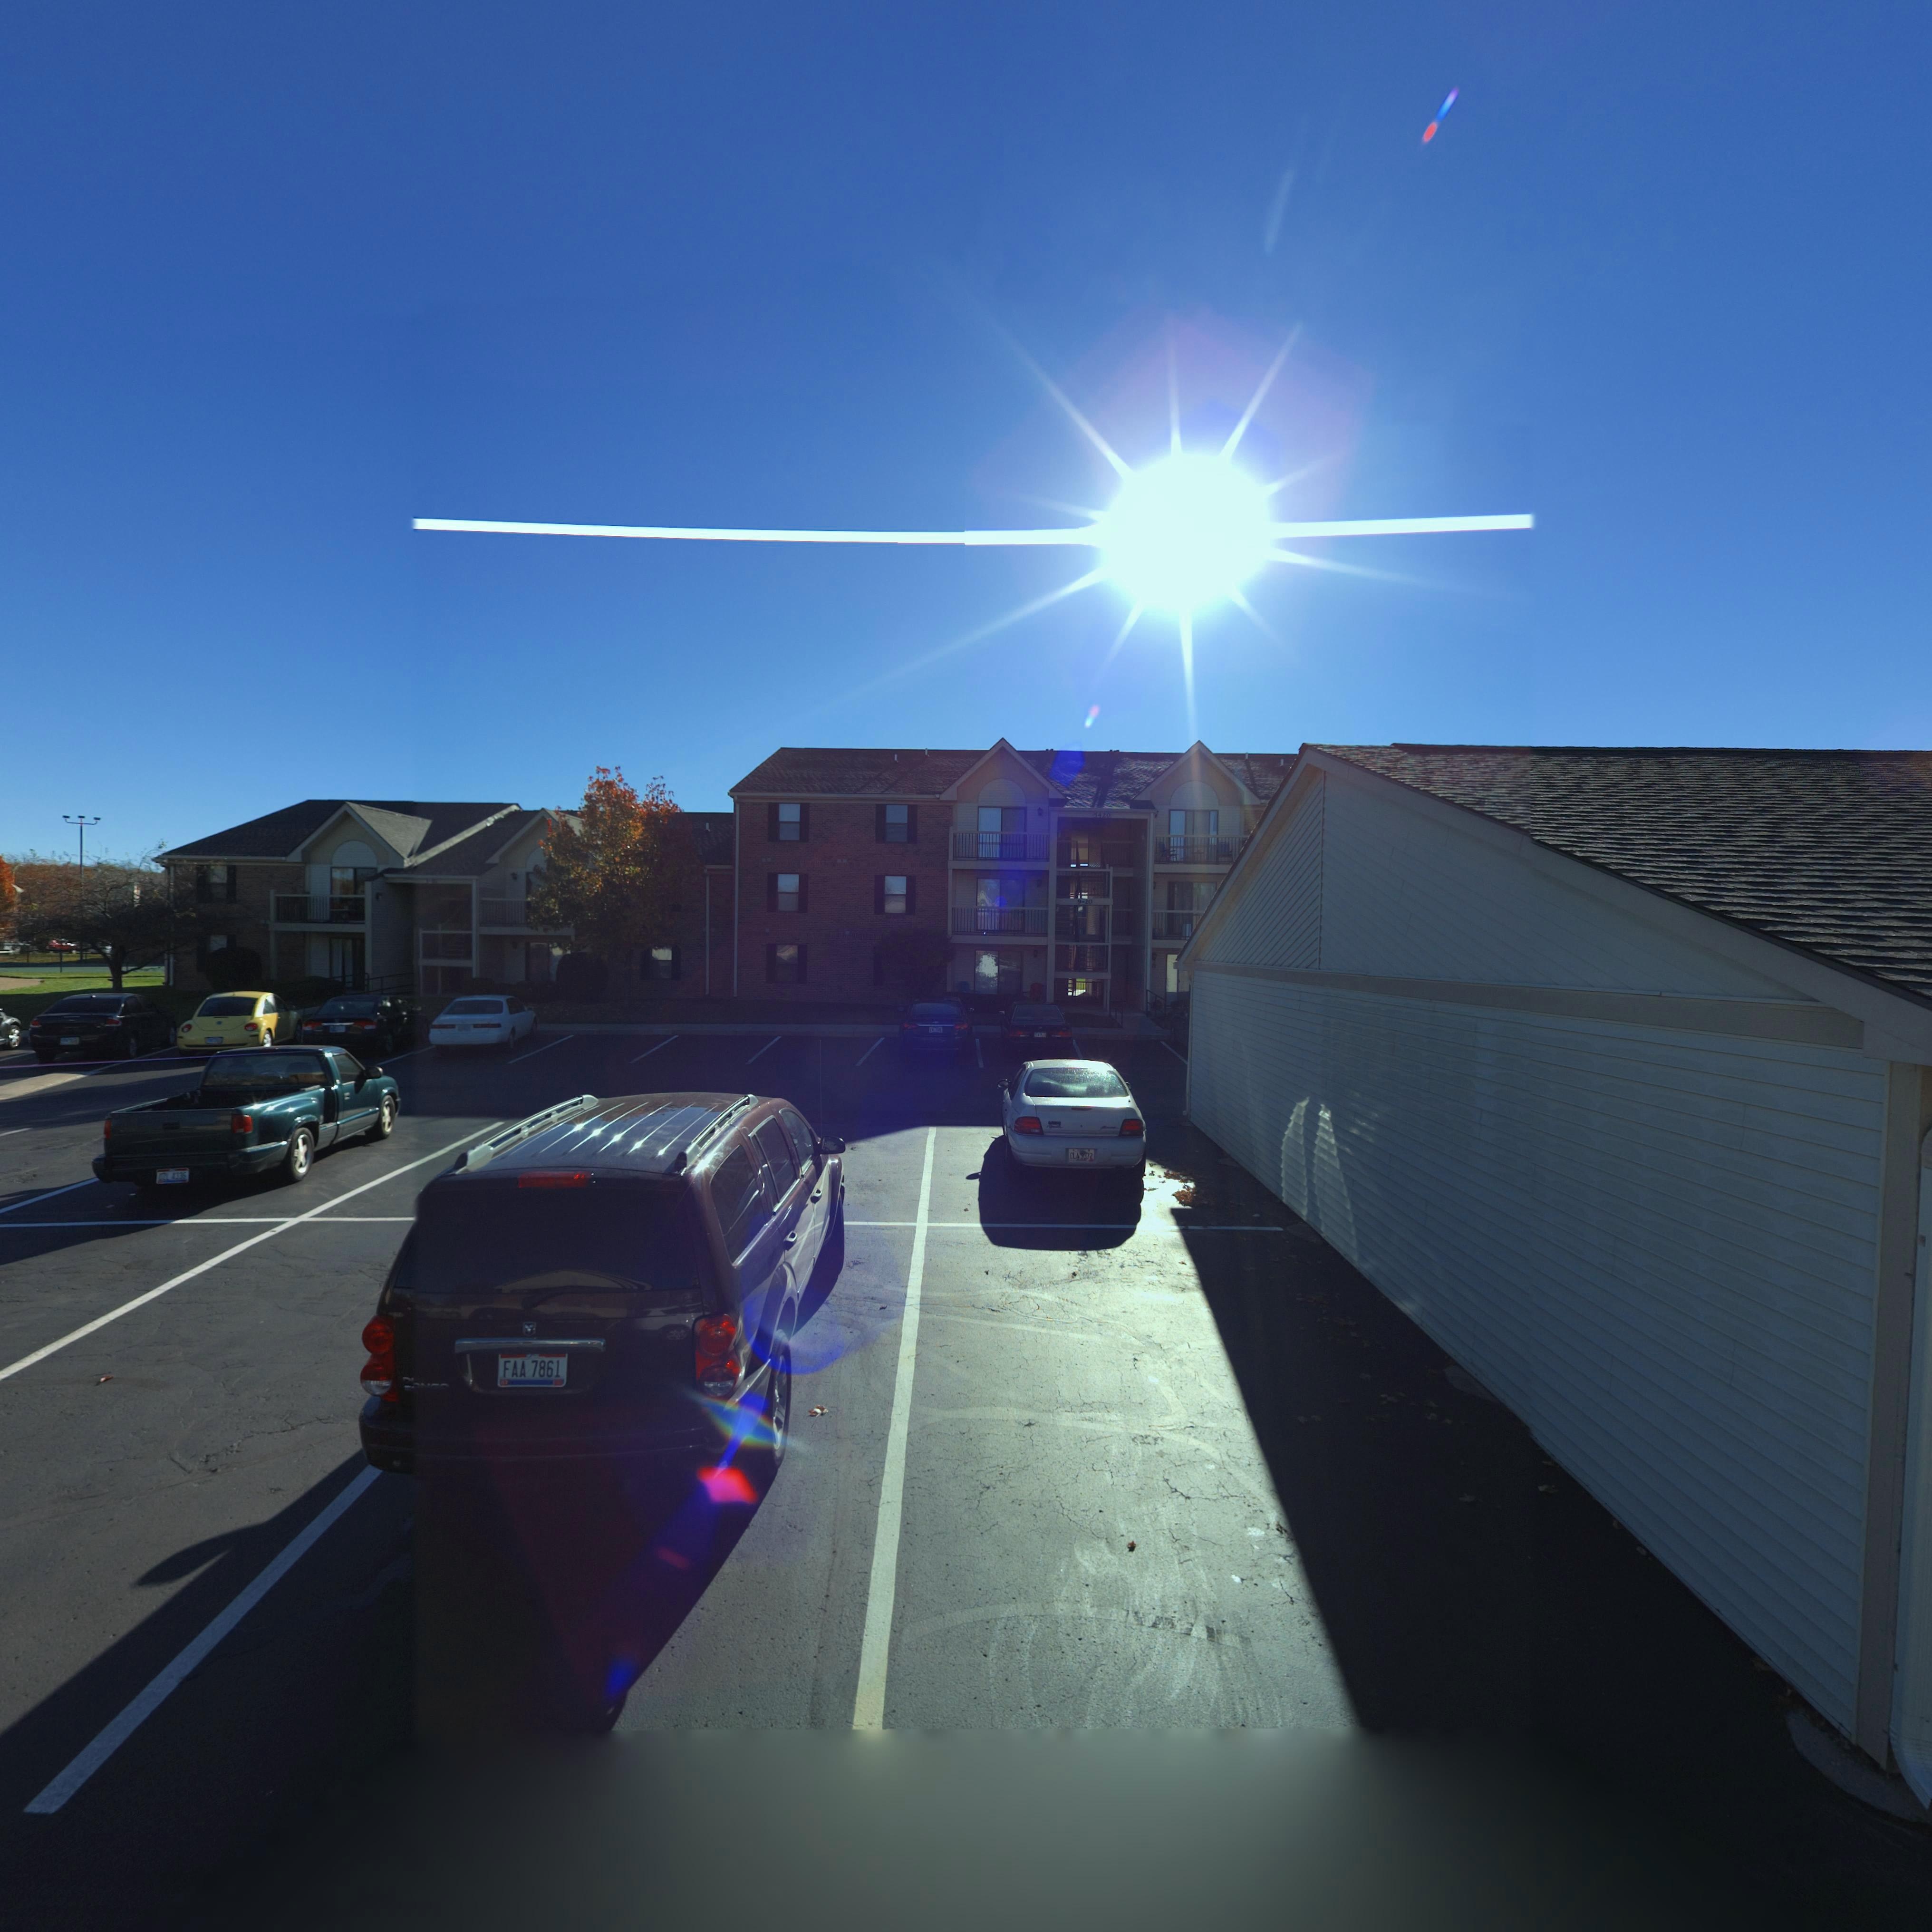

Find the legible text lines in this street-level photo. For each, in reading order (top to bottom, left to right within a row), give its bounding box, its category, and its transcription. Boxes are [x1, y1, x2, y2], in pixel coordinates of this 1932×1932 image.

[1093, 812, 1111, 818] StreetNumber: 5420
[1077, 898, 1092, 905] StreetNumber: 9-20